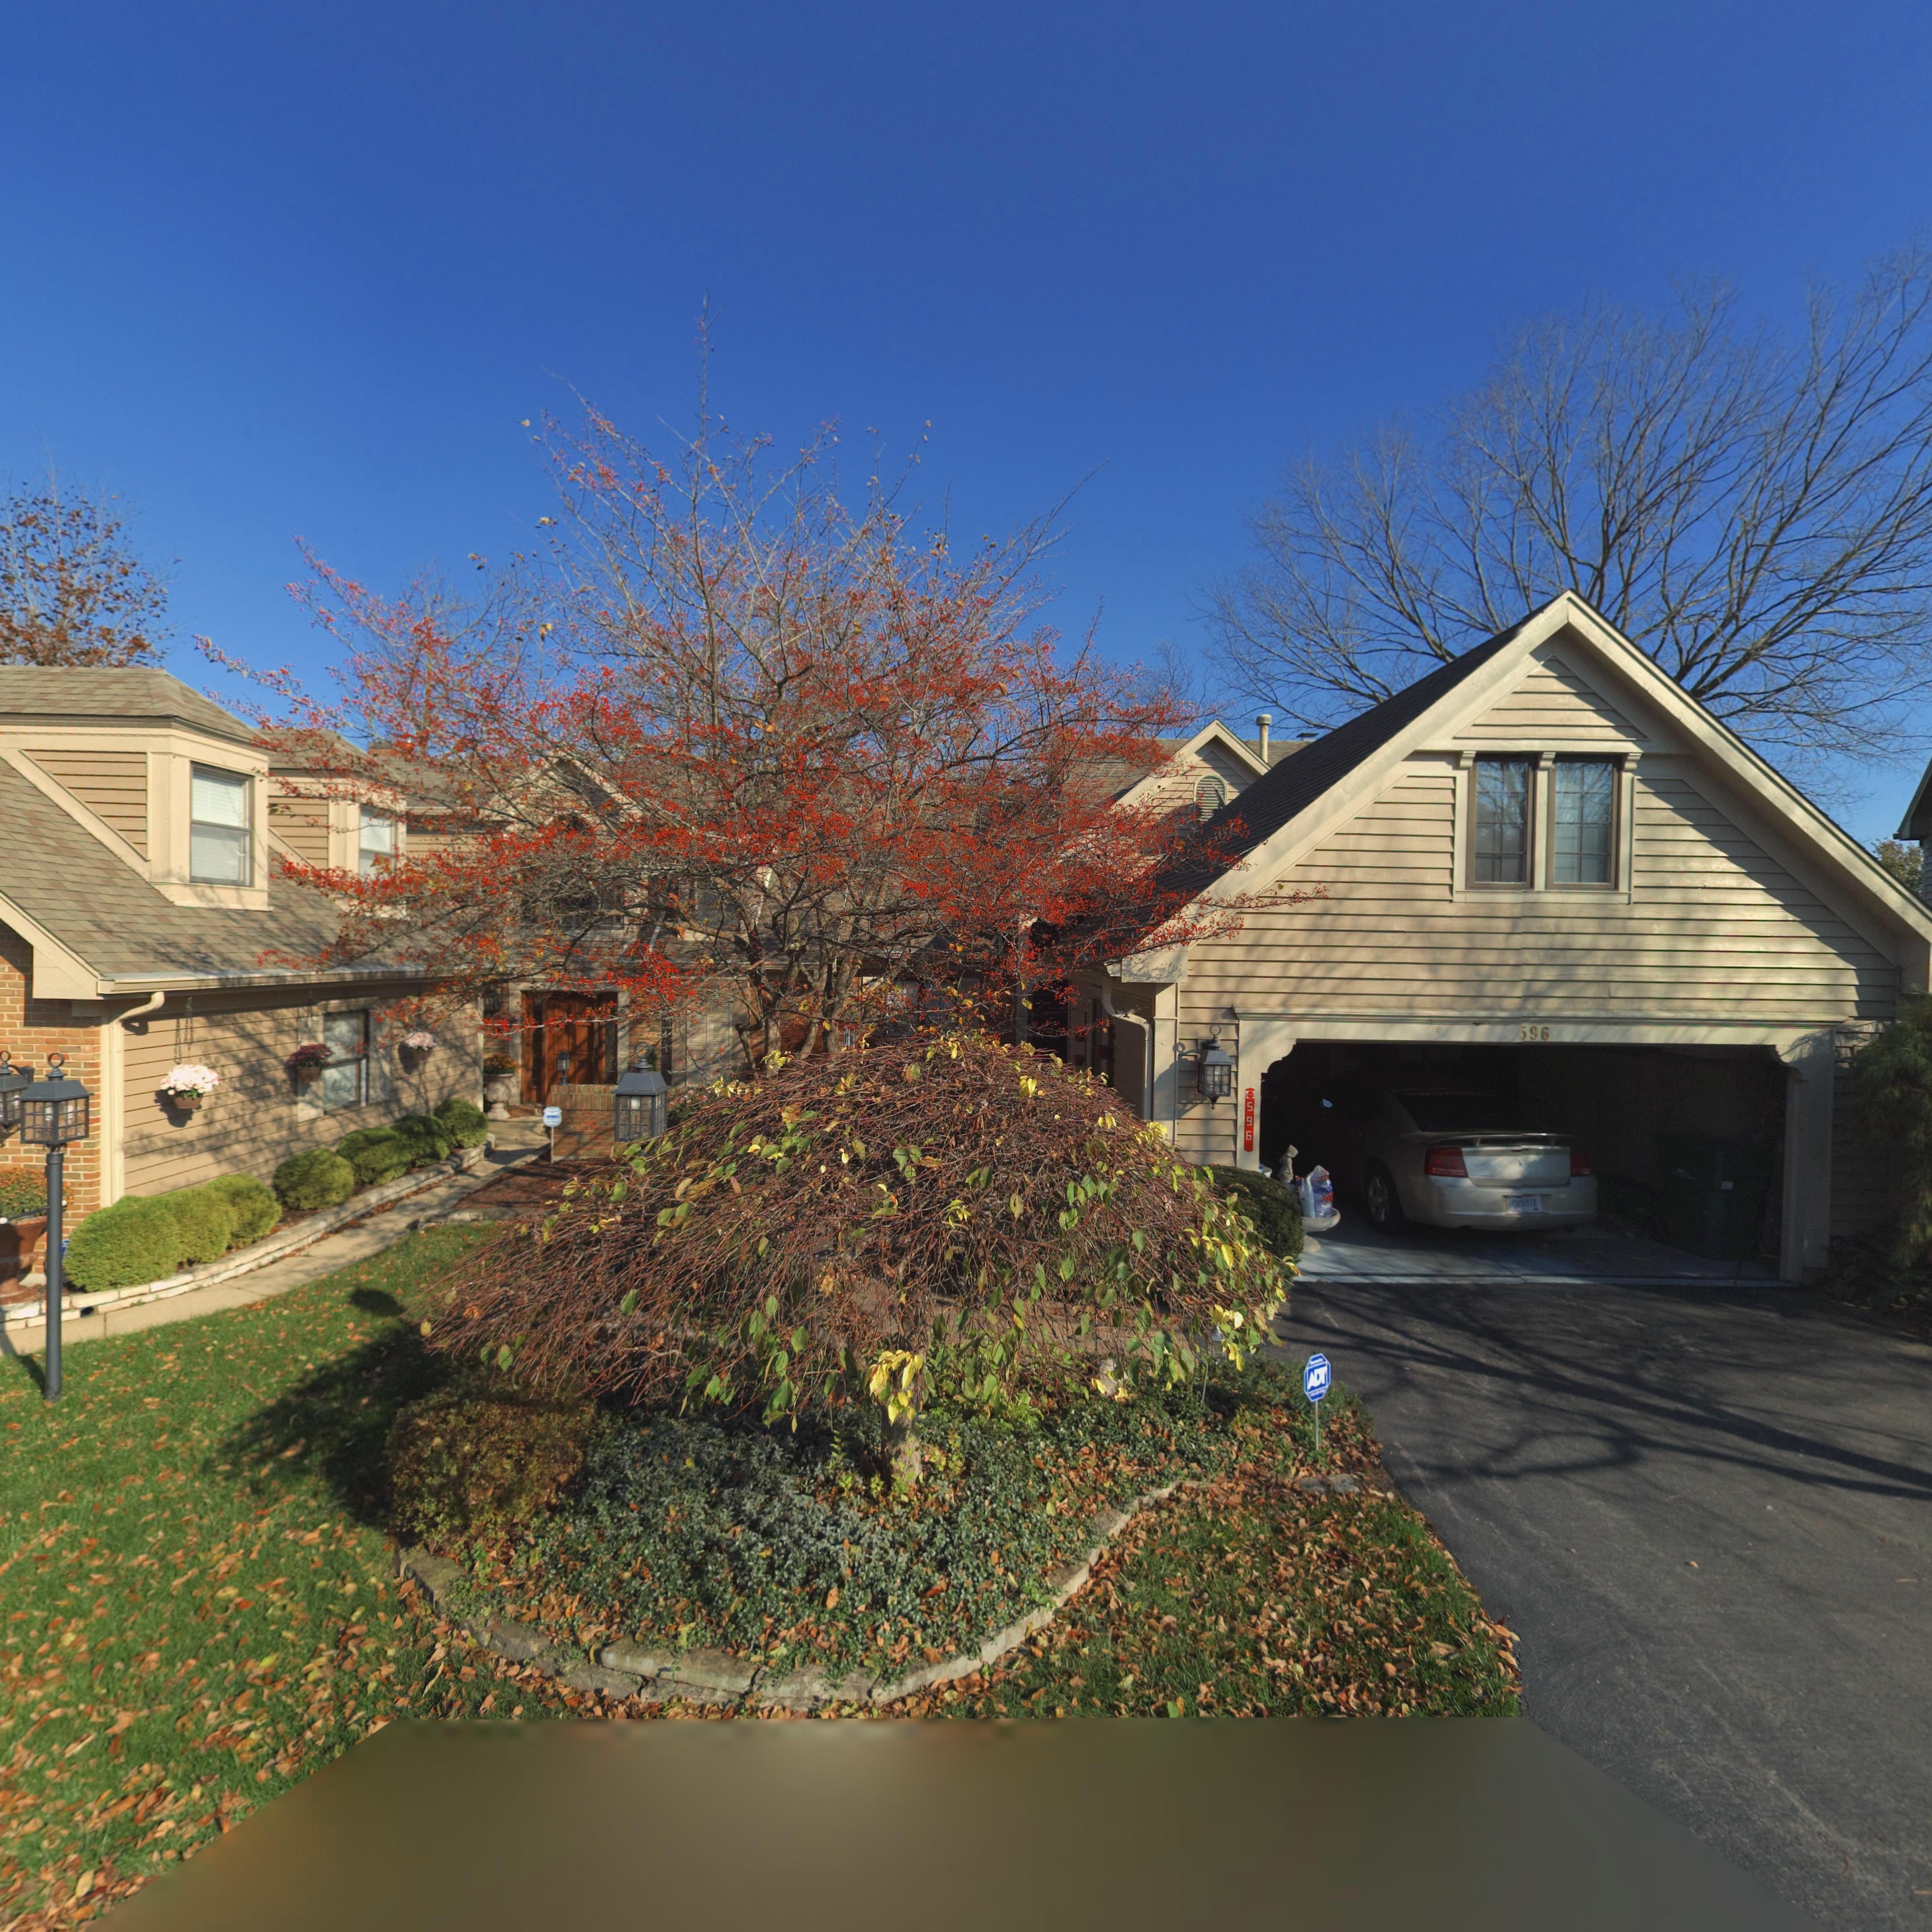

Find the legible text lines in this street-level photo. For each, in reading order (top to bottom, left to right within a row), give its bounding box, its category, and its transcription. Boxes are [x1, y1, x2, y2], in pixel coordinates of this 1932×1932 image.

[1517, 1024, 1551, 1042] StreetNumber: 596
[1245, 1101, 1254, 1141] StreetNumber: 596